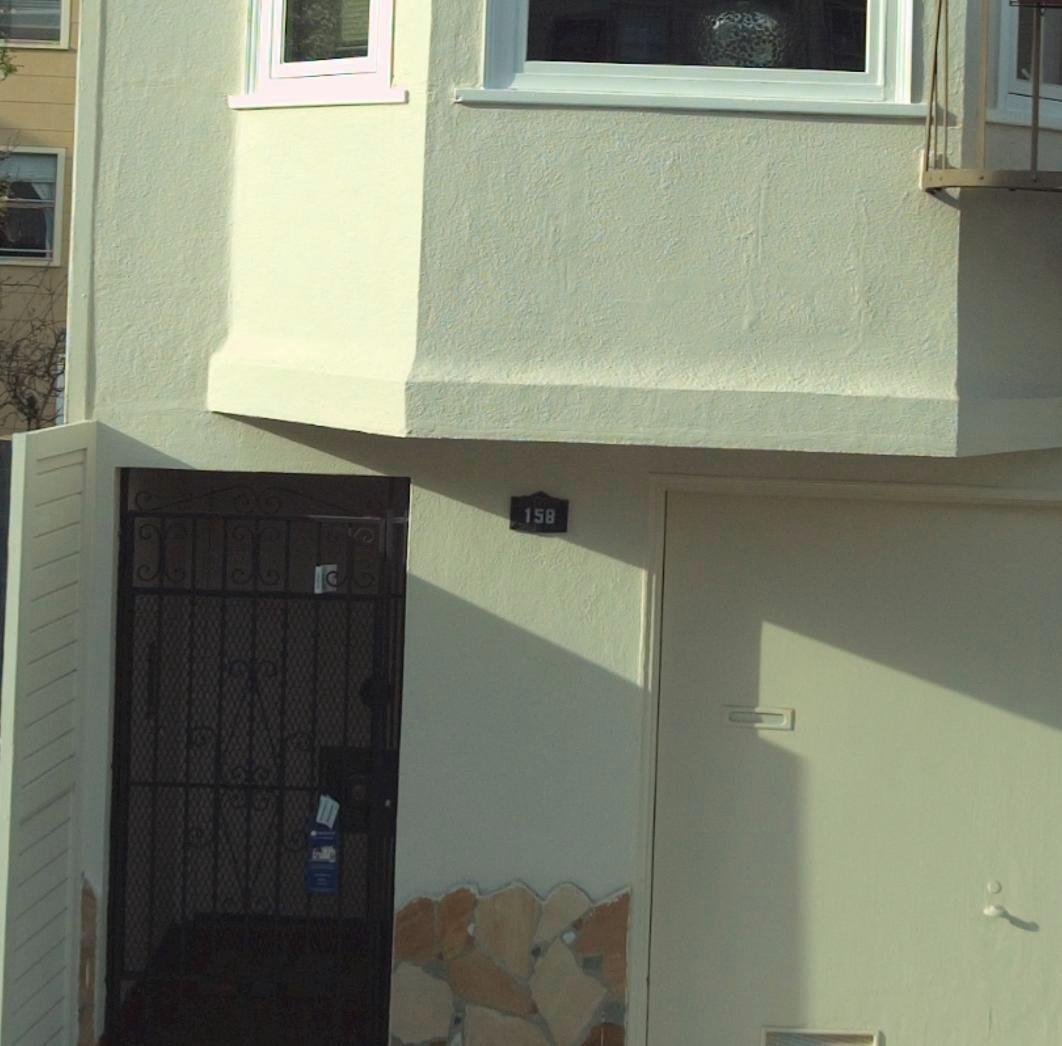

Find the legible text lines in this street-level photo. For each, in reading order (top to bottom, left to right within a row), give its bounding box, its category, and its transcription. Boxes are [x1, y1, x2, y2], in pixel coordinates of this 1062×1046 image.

[522, 505, 558, 526] StreetNumber: 158